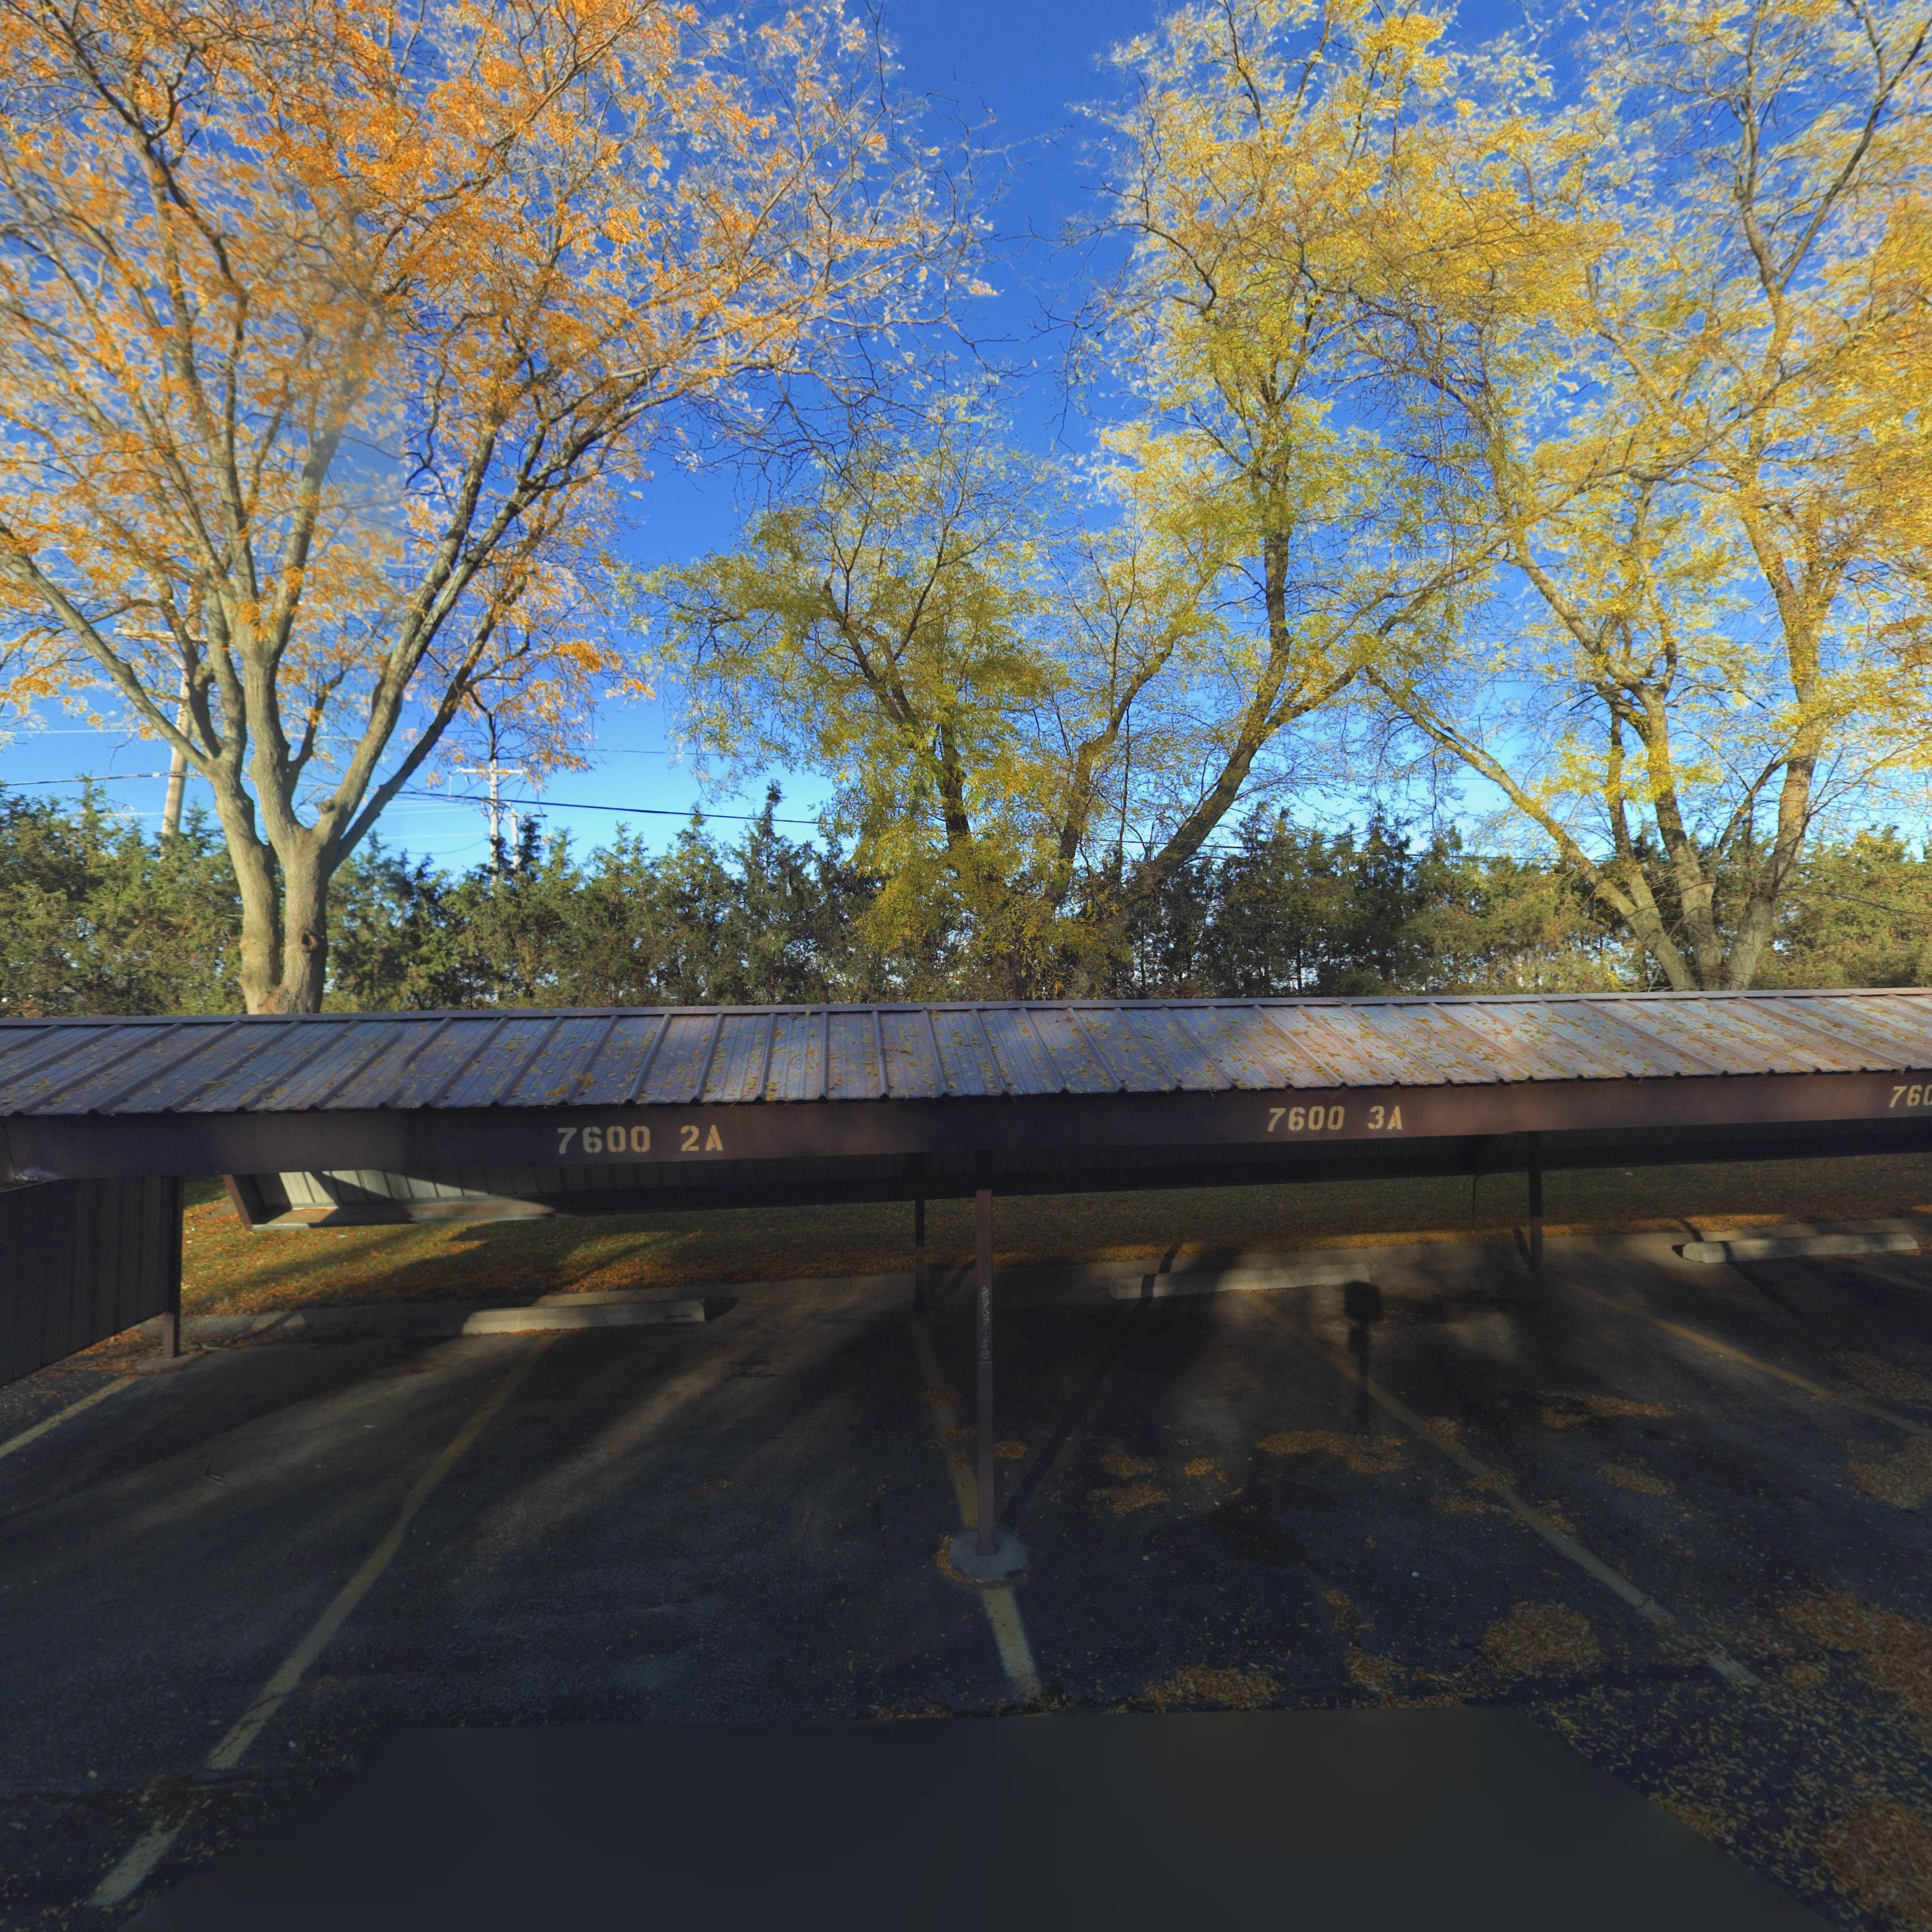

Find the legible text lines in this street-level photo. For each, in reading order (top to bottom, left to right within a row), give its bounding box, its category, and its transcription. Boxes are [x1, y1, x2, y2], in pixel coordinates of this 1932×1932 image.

[1888, 1084, 1923, 1108] StreetNumber: 76
[1266, 1105, 1346, 1132] StreetNumber: 7600
[557, 1125, 652, 1155] StreetNumber: 7600